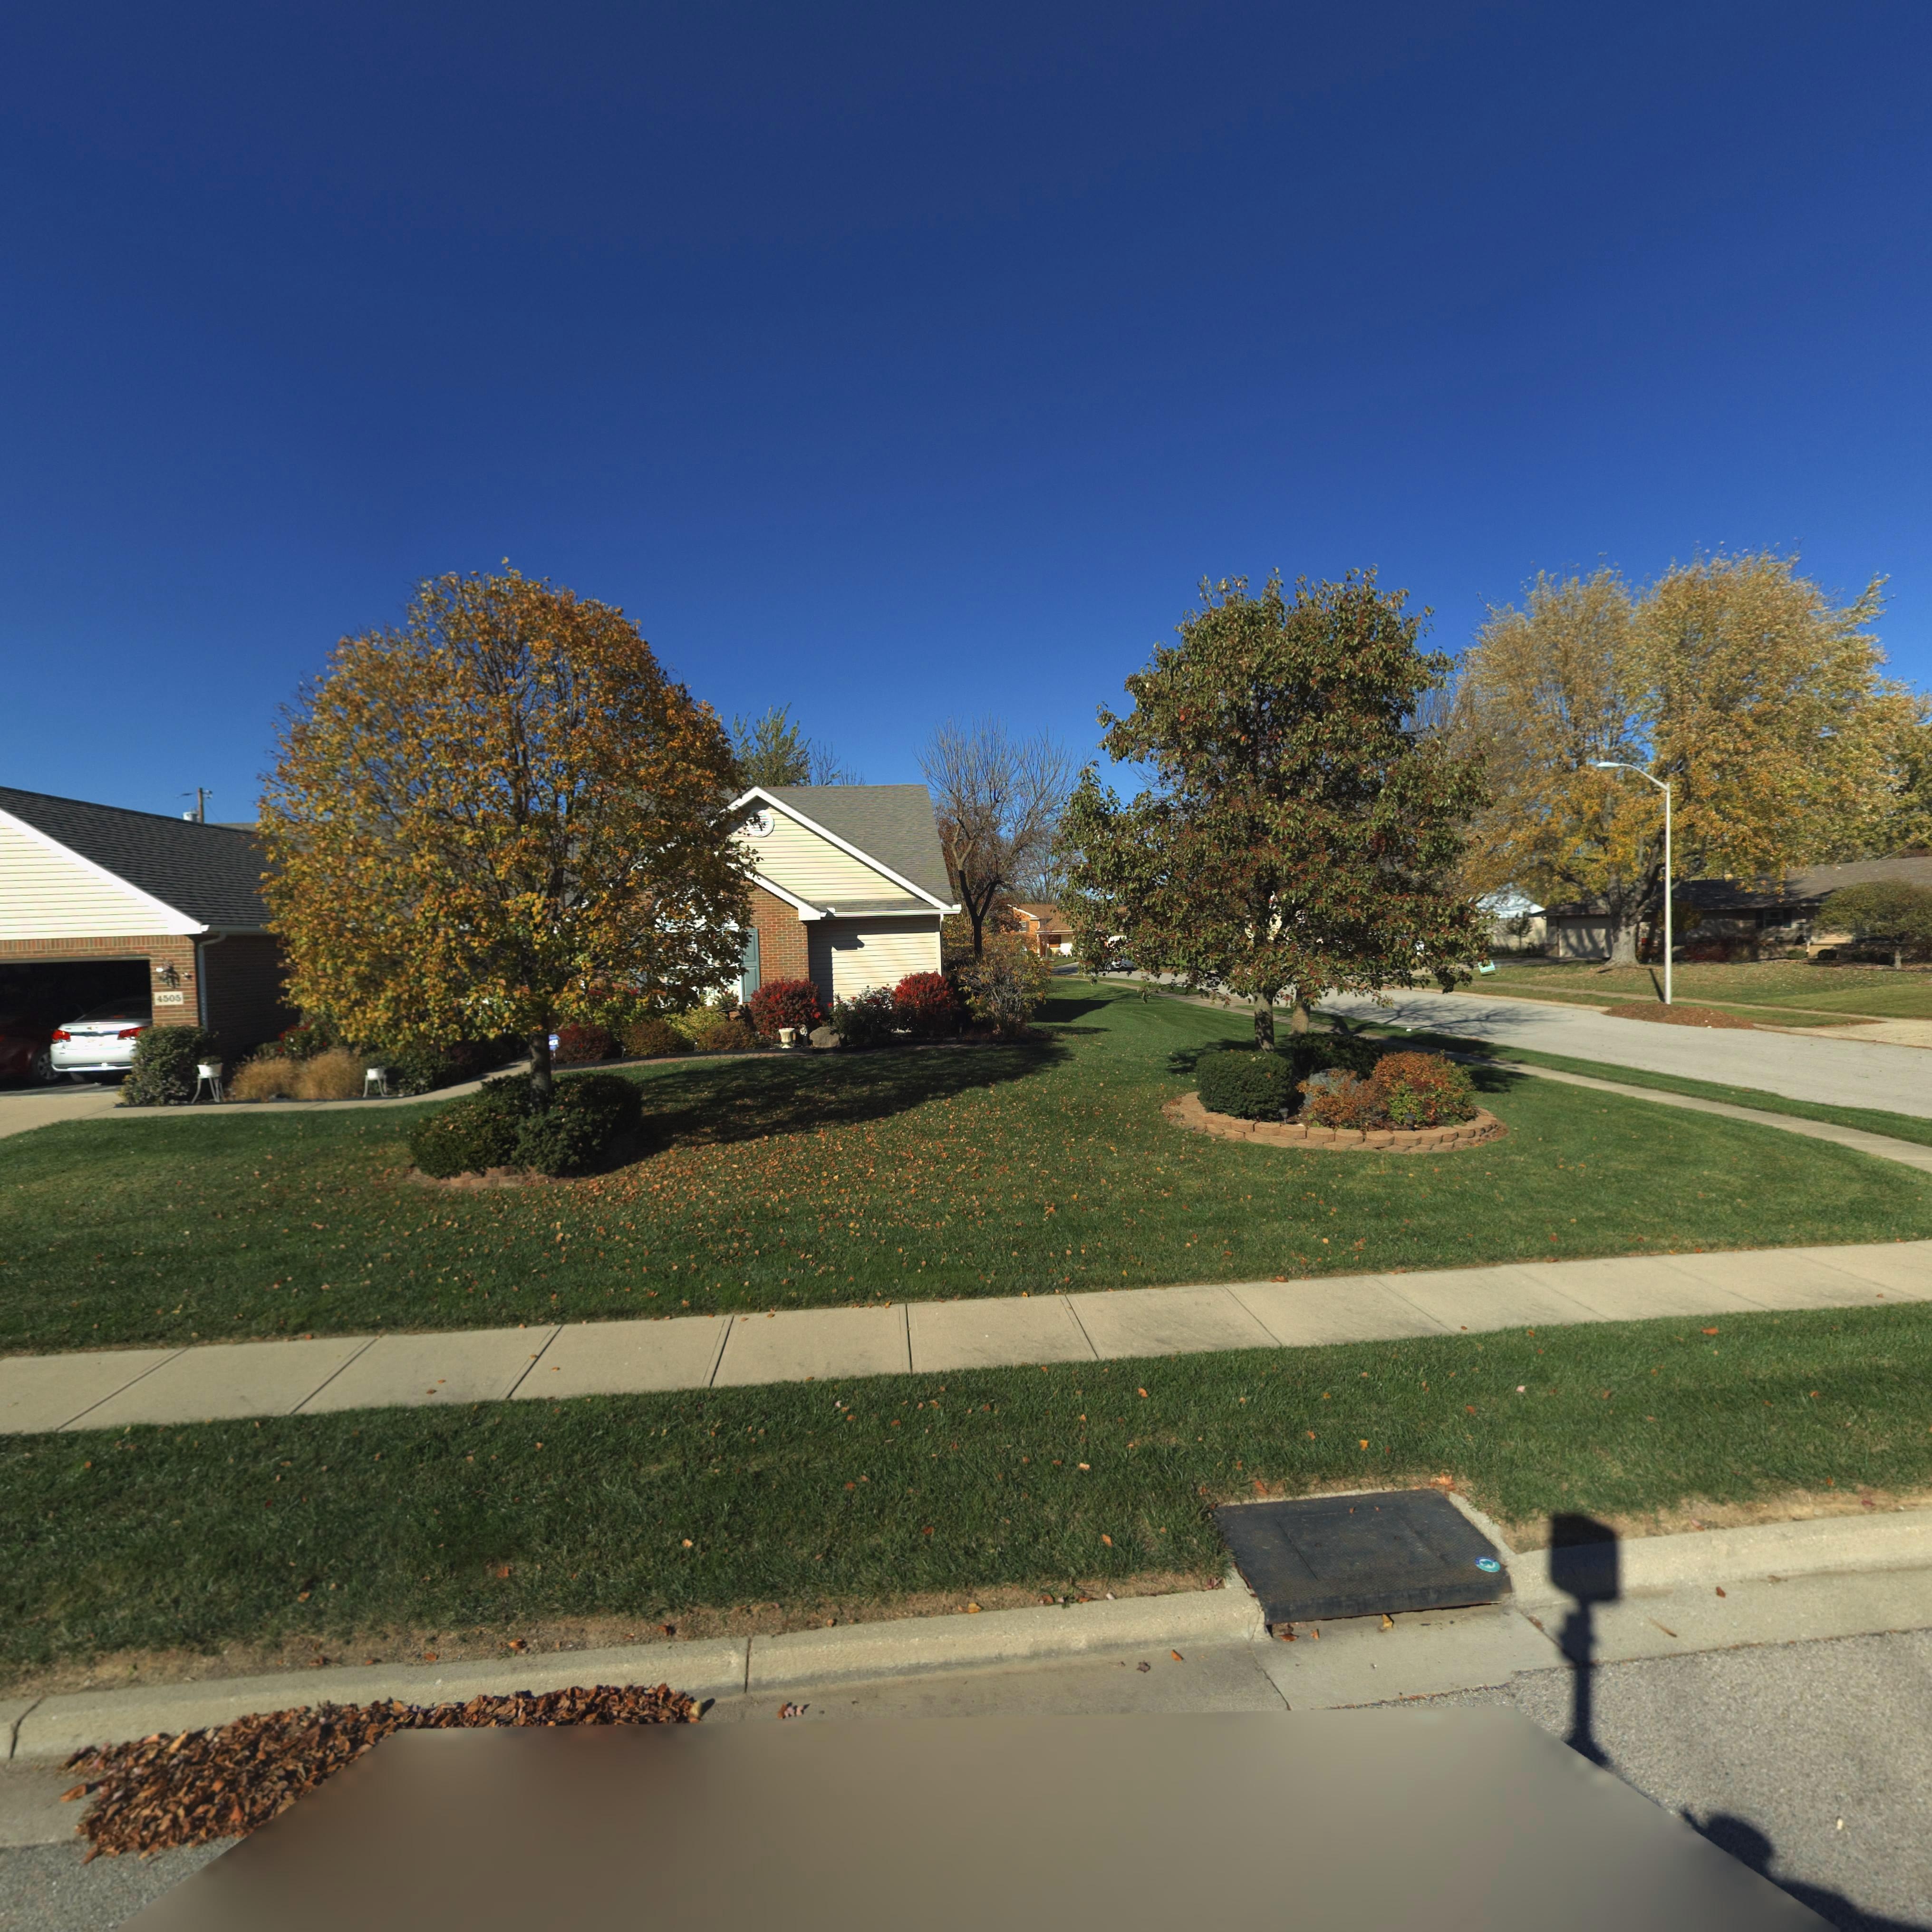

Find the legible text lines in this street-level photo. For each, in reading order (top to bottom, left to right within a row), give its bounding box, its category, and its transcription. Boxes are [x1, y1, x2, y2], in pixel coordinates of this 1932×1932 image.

[155, 993, 184, 1004] StreetNumber: 4505